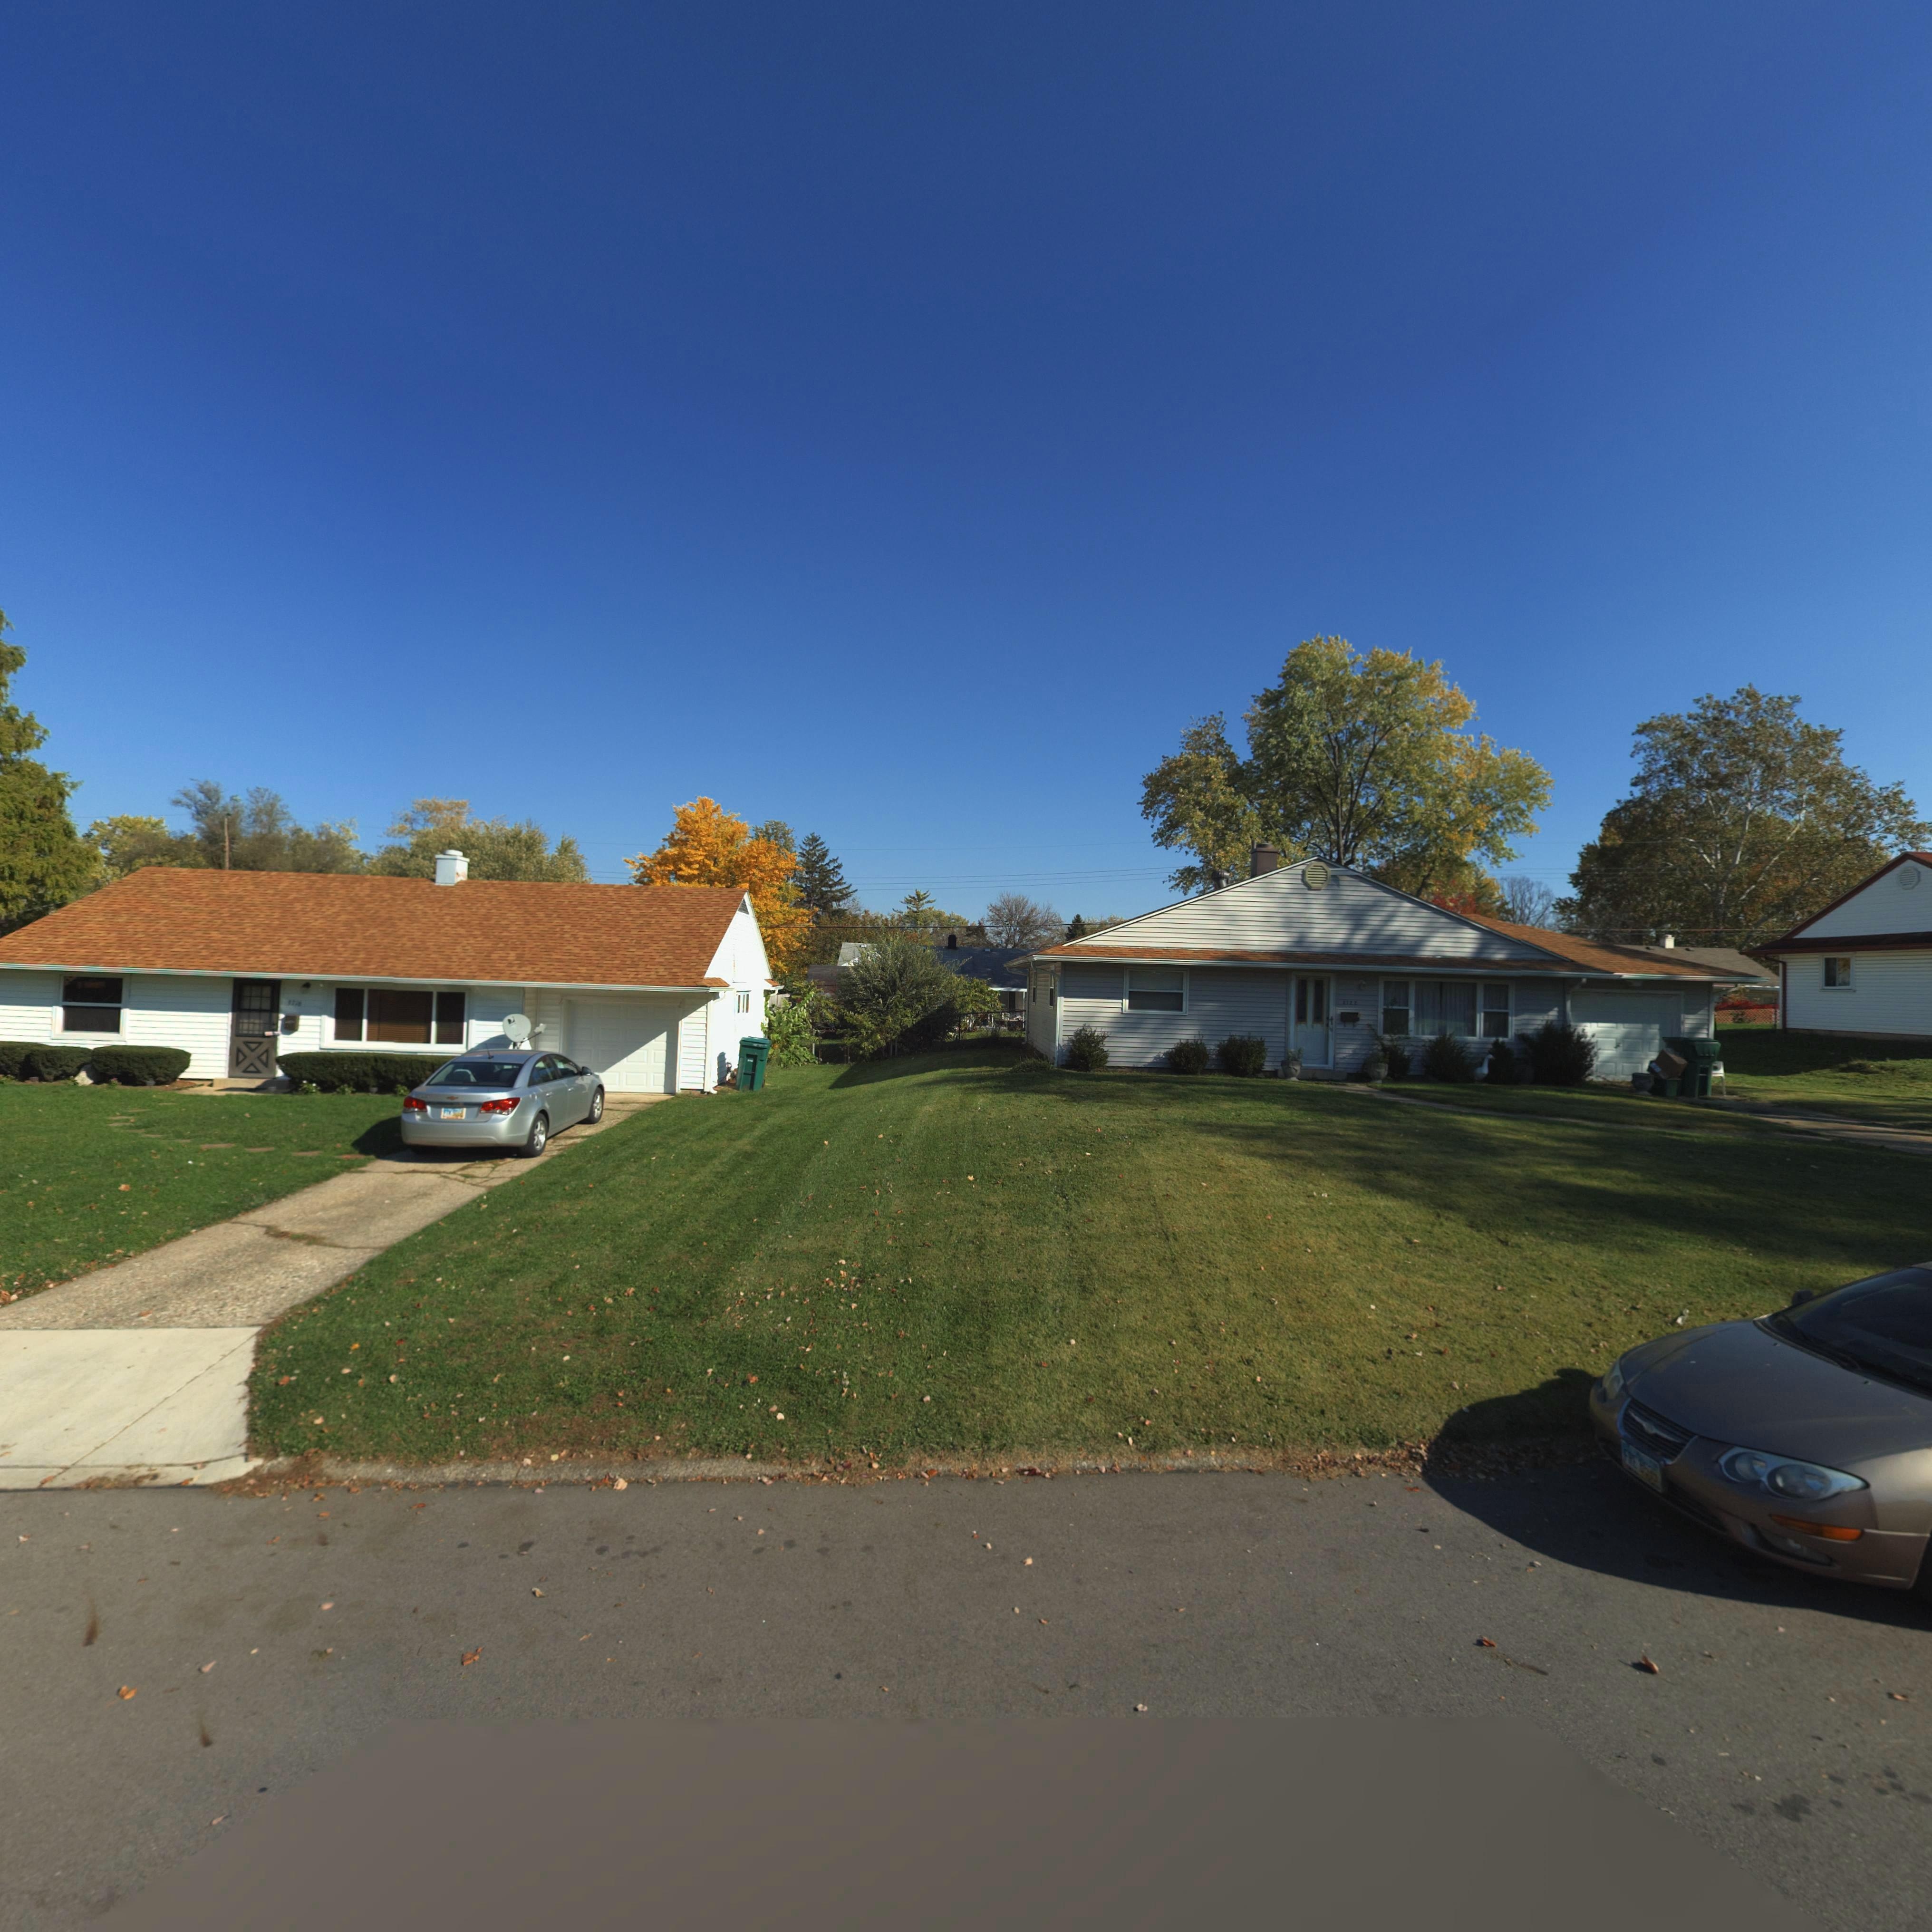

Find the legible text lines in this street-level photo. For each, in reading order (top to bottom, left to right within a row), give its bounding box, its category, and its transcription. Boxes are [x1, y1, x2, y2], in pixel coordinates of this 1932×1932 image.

[286, 999, 302, 1006] StreetNumber: 3716
[1342, 1000, 1357, 1005] StreetNumber: 3722